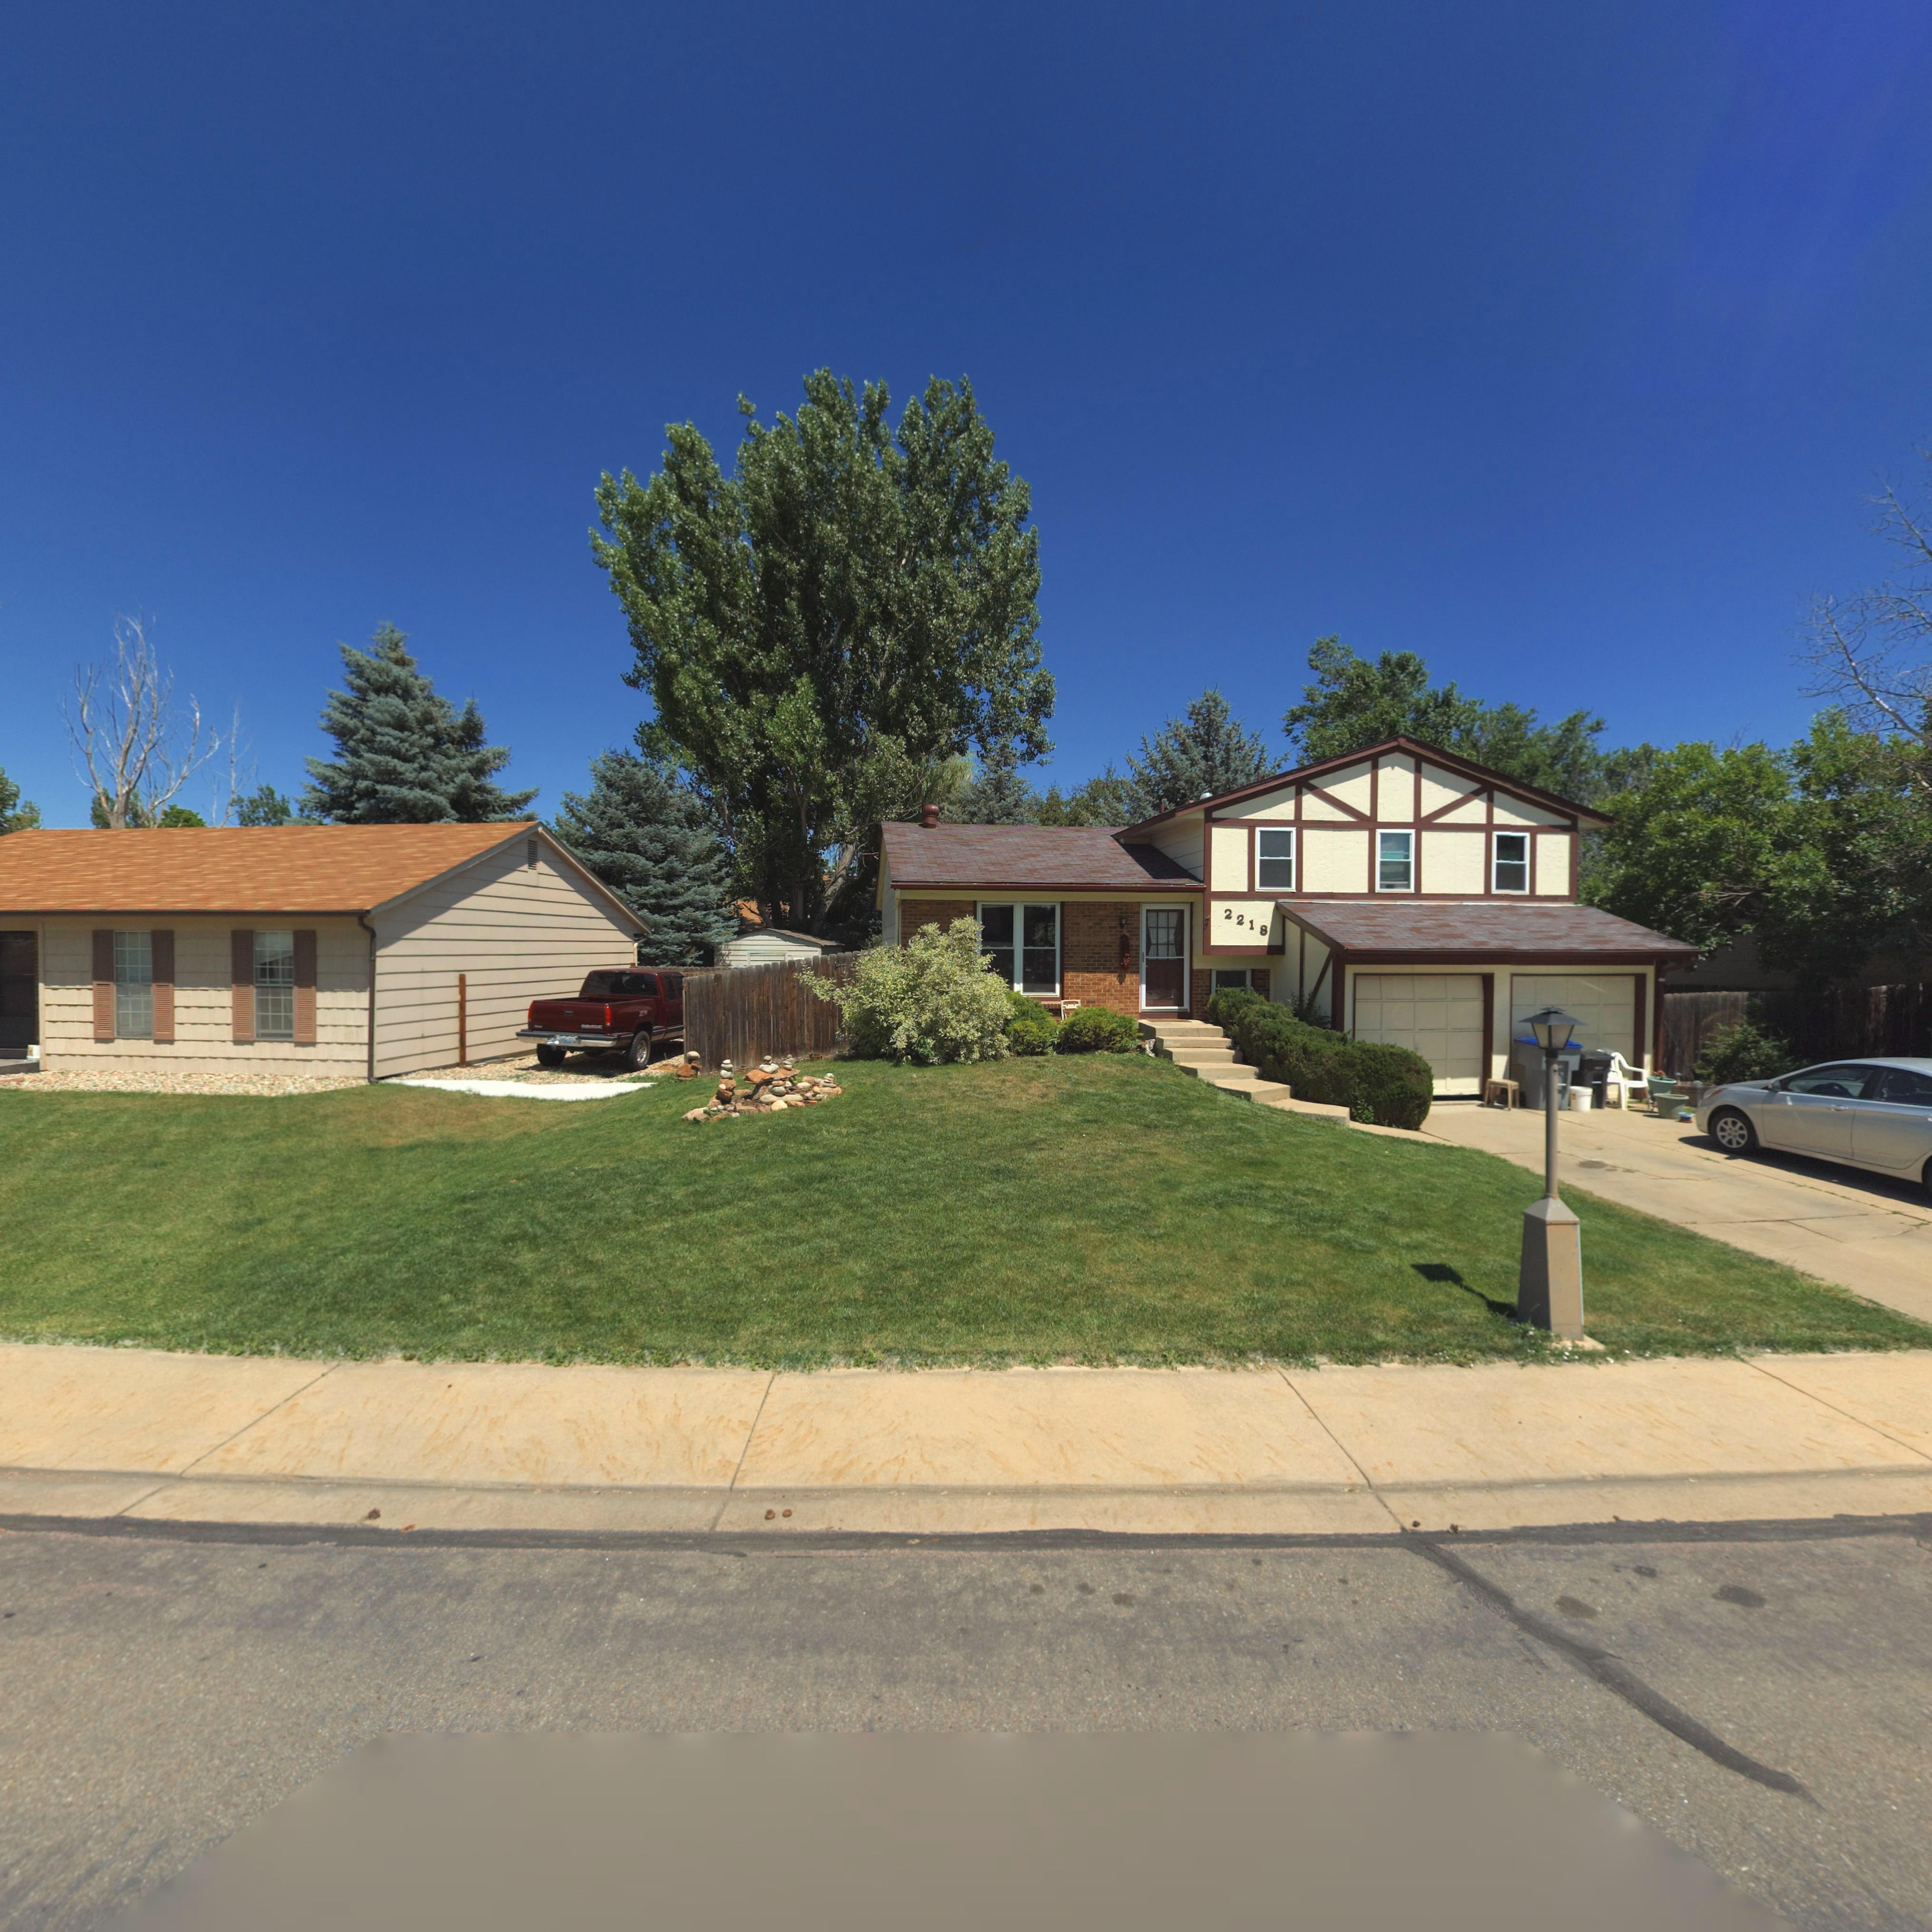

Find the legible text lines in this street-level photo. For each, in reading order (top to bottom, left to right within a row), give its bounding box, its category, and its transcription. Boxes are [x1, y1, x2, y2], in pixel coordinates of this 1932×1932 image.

[1223, 907, 1269, 937] StreetNumber: 2218